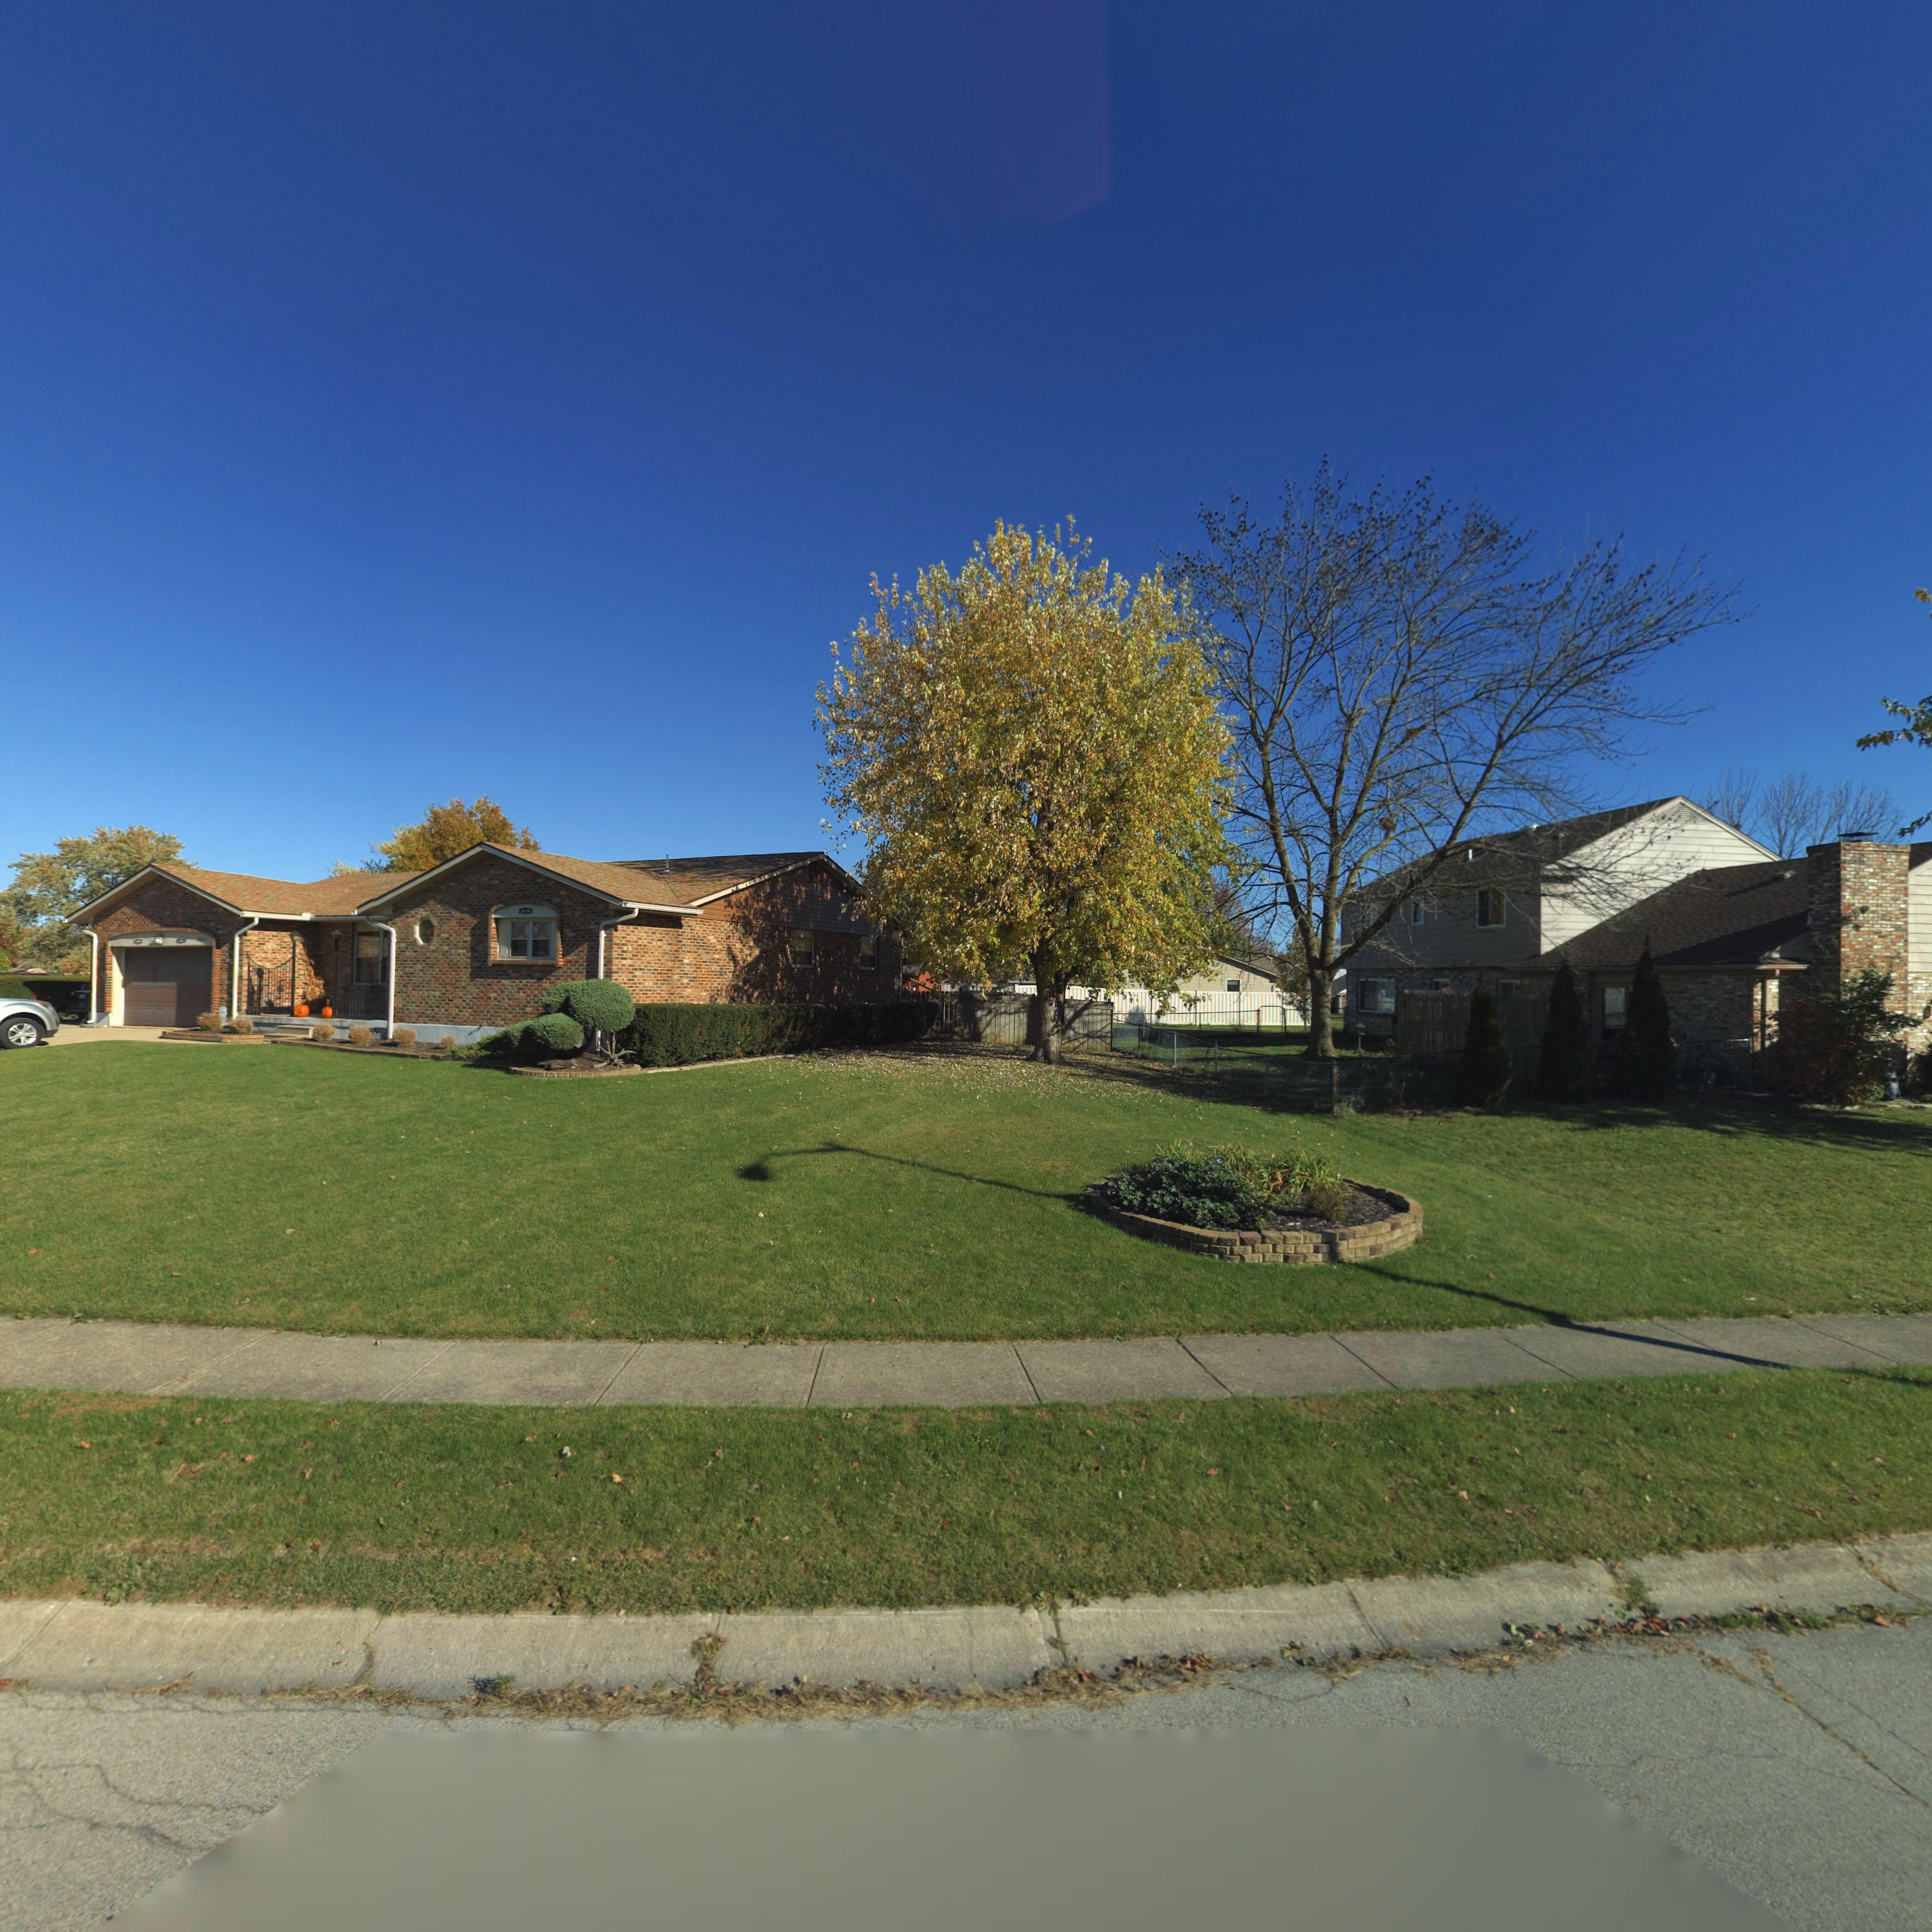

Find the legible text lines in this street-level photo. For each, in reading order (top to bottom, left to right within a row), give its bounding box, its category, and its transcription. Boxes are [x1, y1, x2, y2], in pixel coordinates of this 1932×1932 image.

[197, 937, 208, 942] StreetNumber: **34